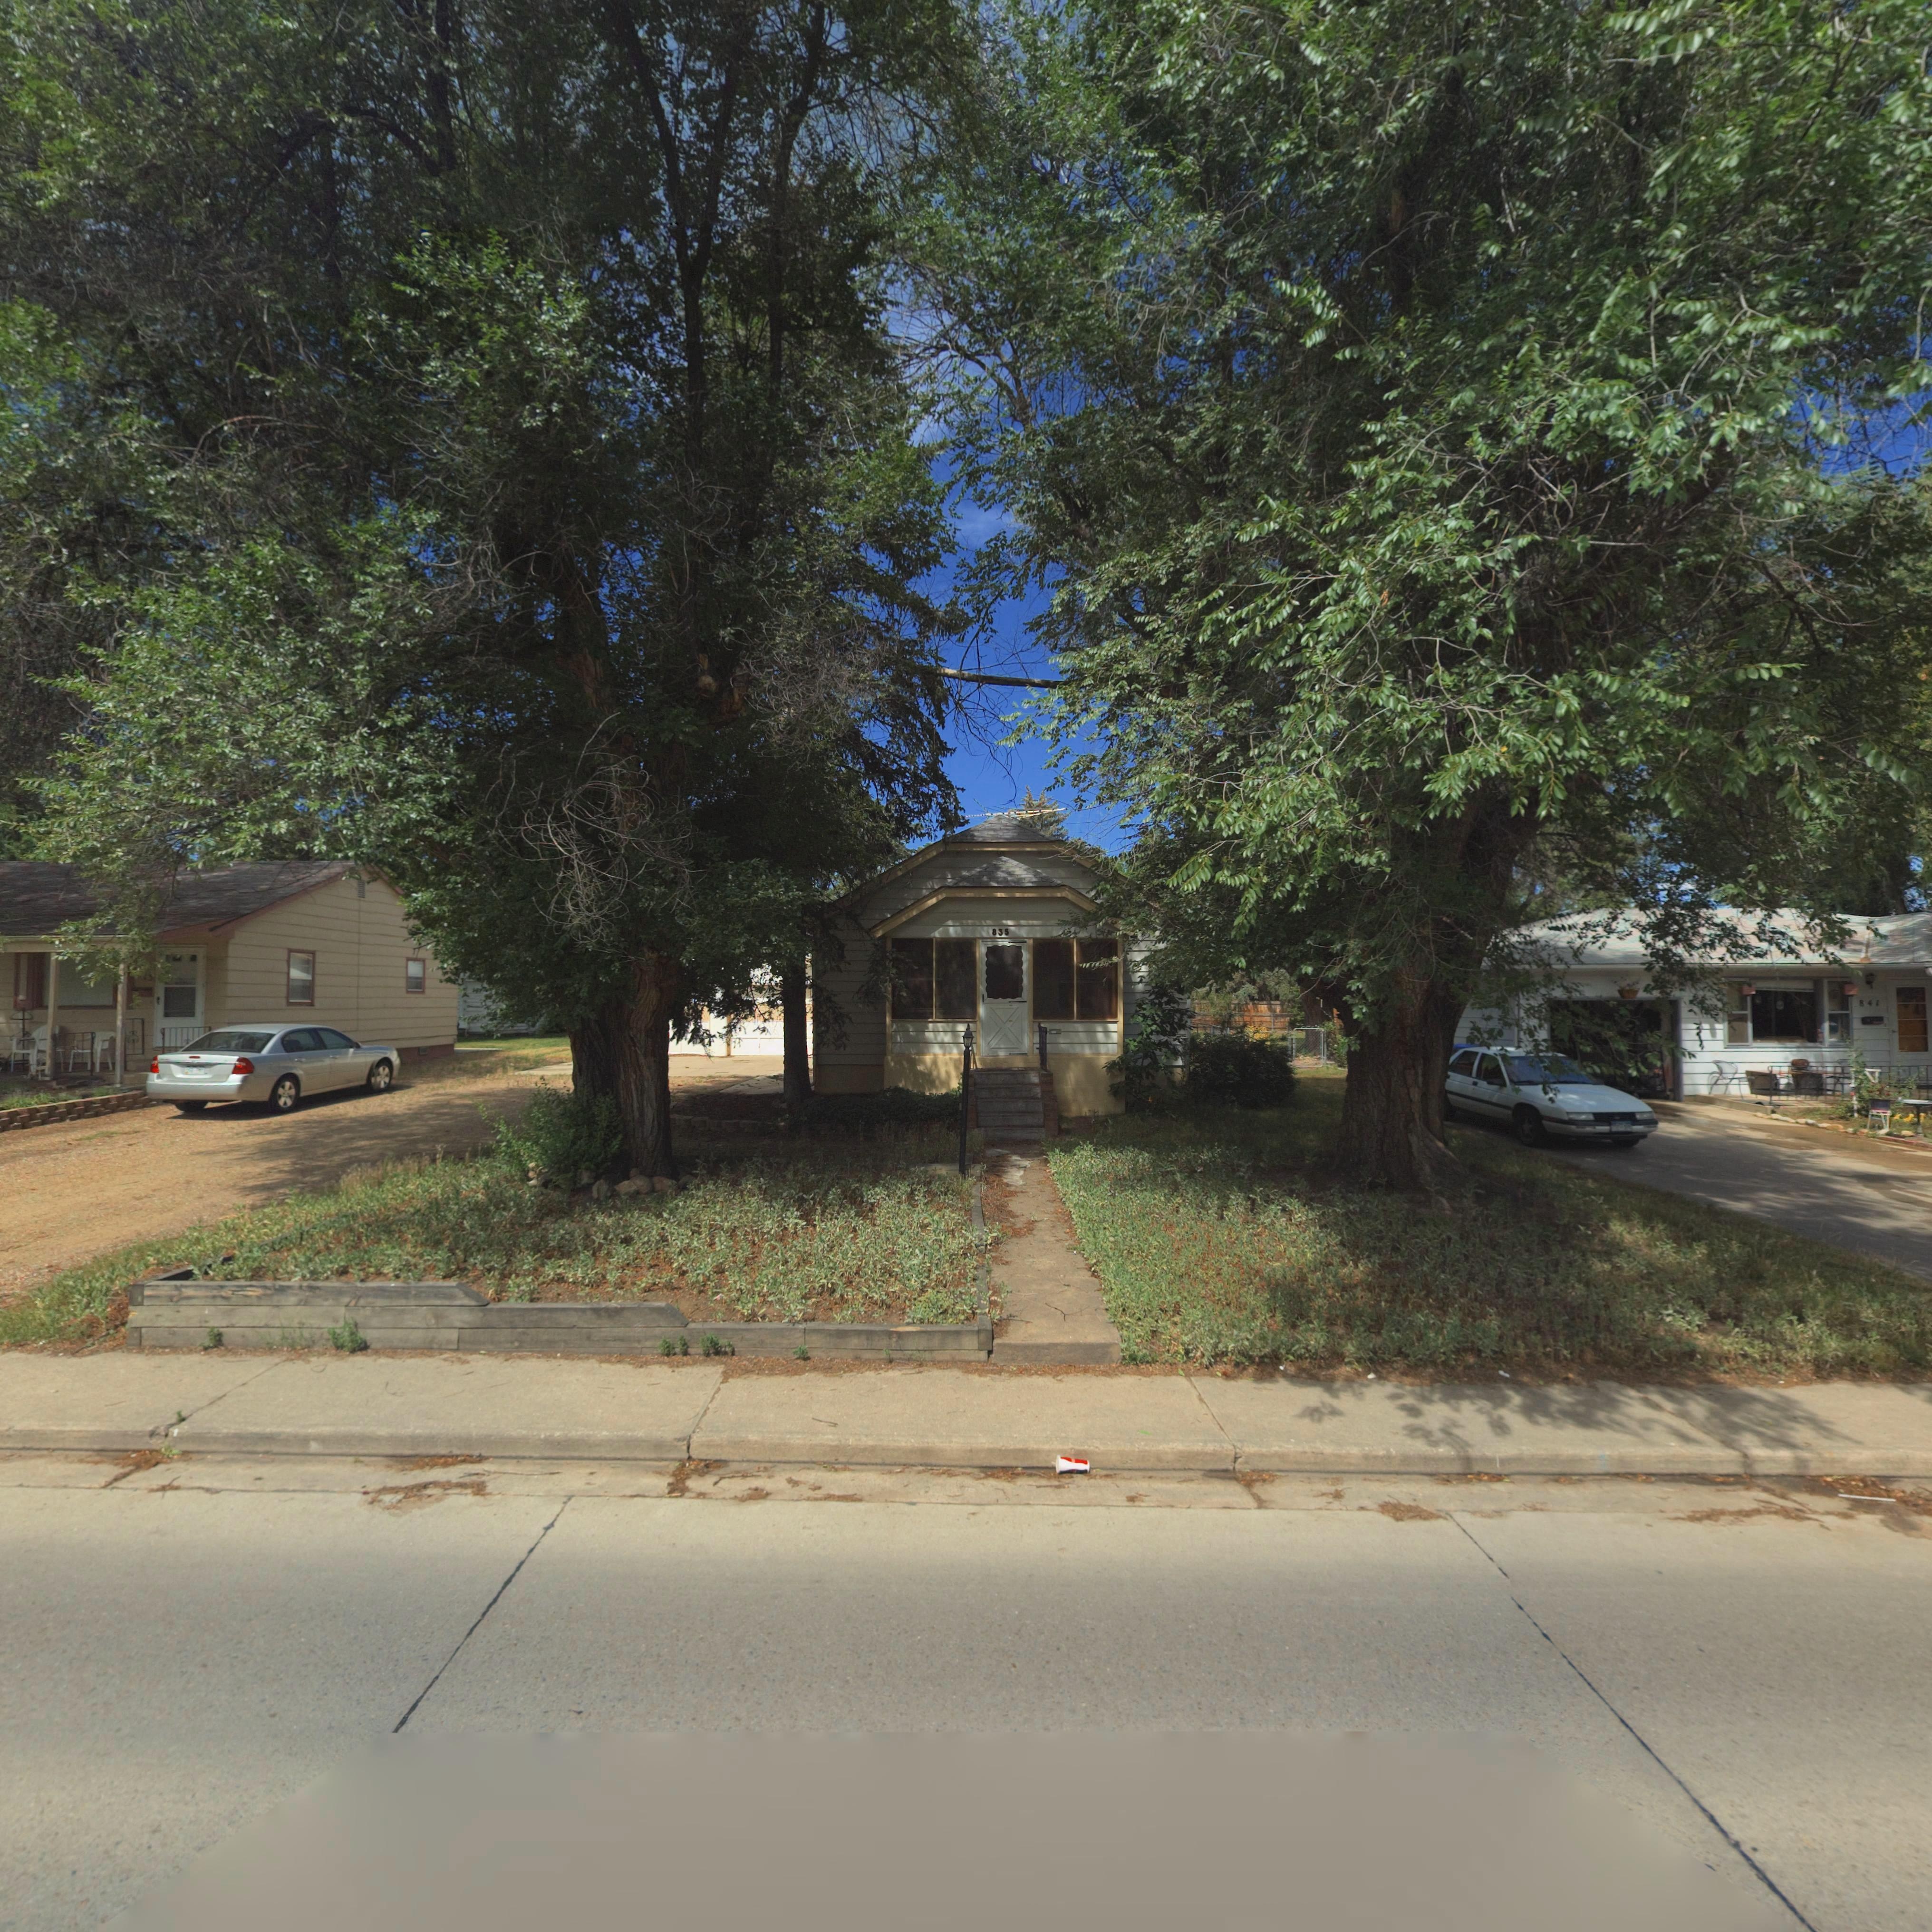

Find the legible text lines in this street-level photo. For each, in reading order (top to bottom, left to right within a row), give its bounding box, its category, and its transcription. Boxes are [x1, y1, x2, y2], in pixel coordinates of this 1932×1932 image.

[991, 928, 1009, 936] StreetNumber: 835